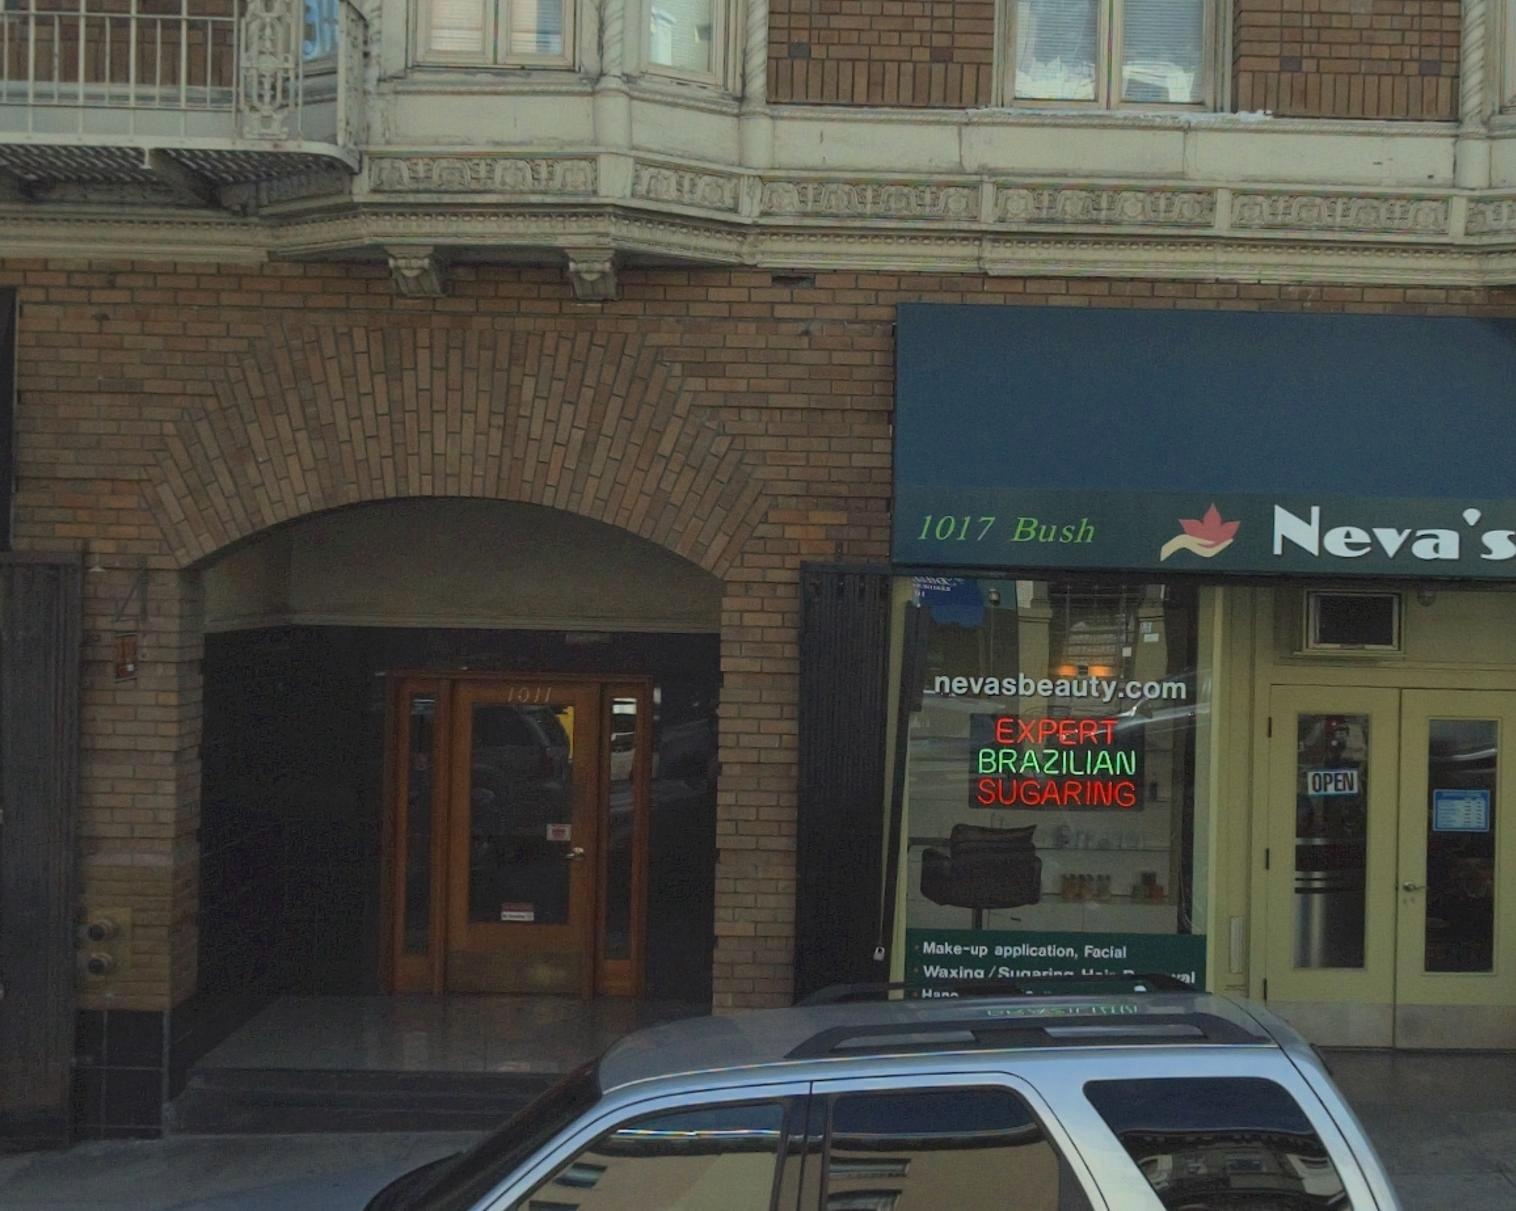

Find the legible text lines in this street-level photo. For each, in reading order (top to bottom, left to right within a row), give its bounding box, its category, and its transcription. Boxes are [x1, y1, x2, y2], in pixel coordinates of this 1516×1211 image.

[914, 510, 1001, 546] StreetNumber: 1017
[1008, 511, 1105, 546] StreetName: Bush
[1265, 491, 1516, 565] BusinessName: Neva's
[502, 682, 557, 707] StreetNumber: 1011
[930, 667, 1190, 708] None: nevasbeauty.com
[989, 712, 1122, 750] None: EXPERT
[973, 742, 1140, 778] None: BRAZILIAN
[970, 772, 1141, 813] None: SUGARING
[1307, 769, 1358, 796] None: OPEN
[920, 934, 1133, 962] None: Make-up application, Facial
[920, 960, 978, 983] None: Waxin